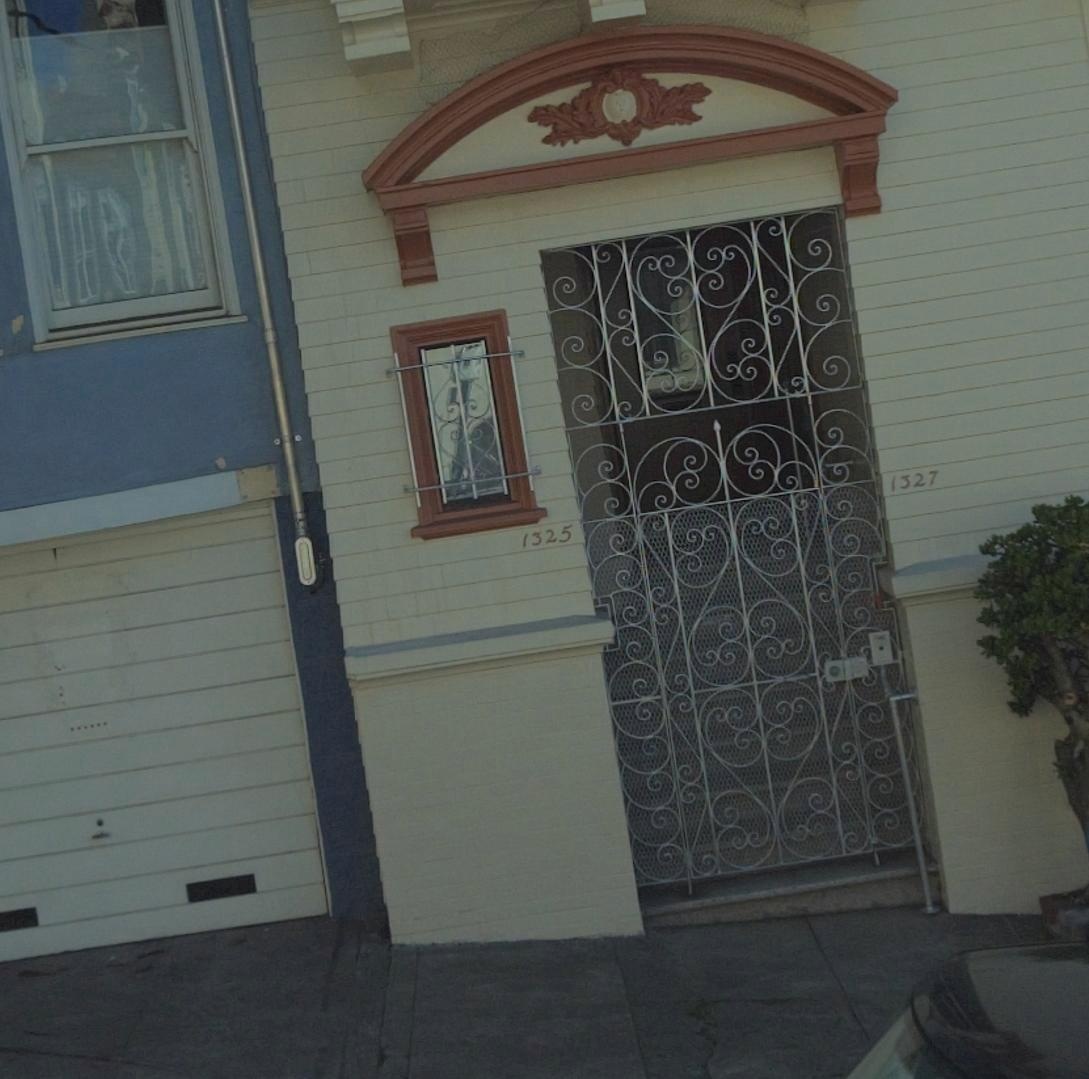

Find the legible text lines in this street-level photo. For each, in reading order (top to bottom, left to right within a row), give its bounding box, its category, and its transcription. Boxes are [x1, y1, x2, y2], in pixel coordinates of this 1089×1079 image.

[890, 467, 943, 495] StreetNumber: 1327
[521, 523, 576, 549] StreetNumber: 1325